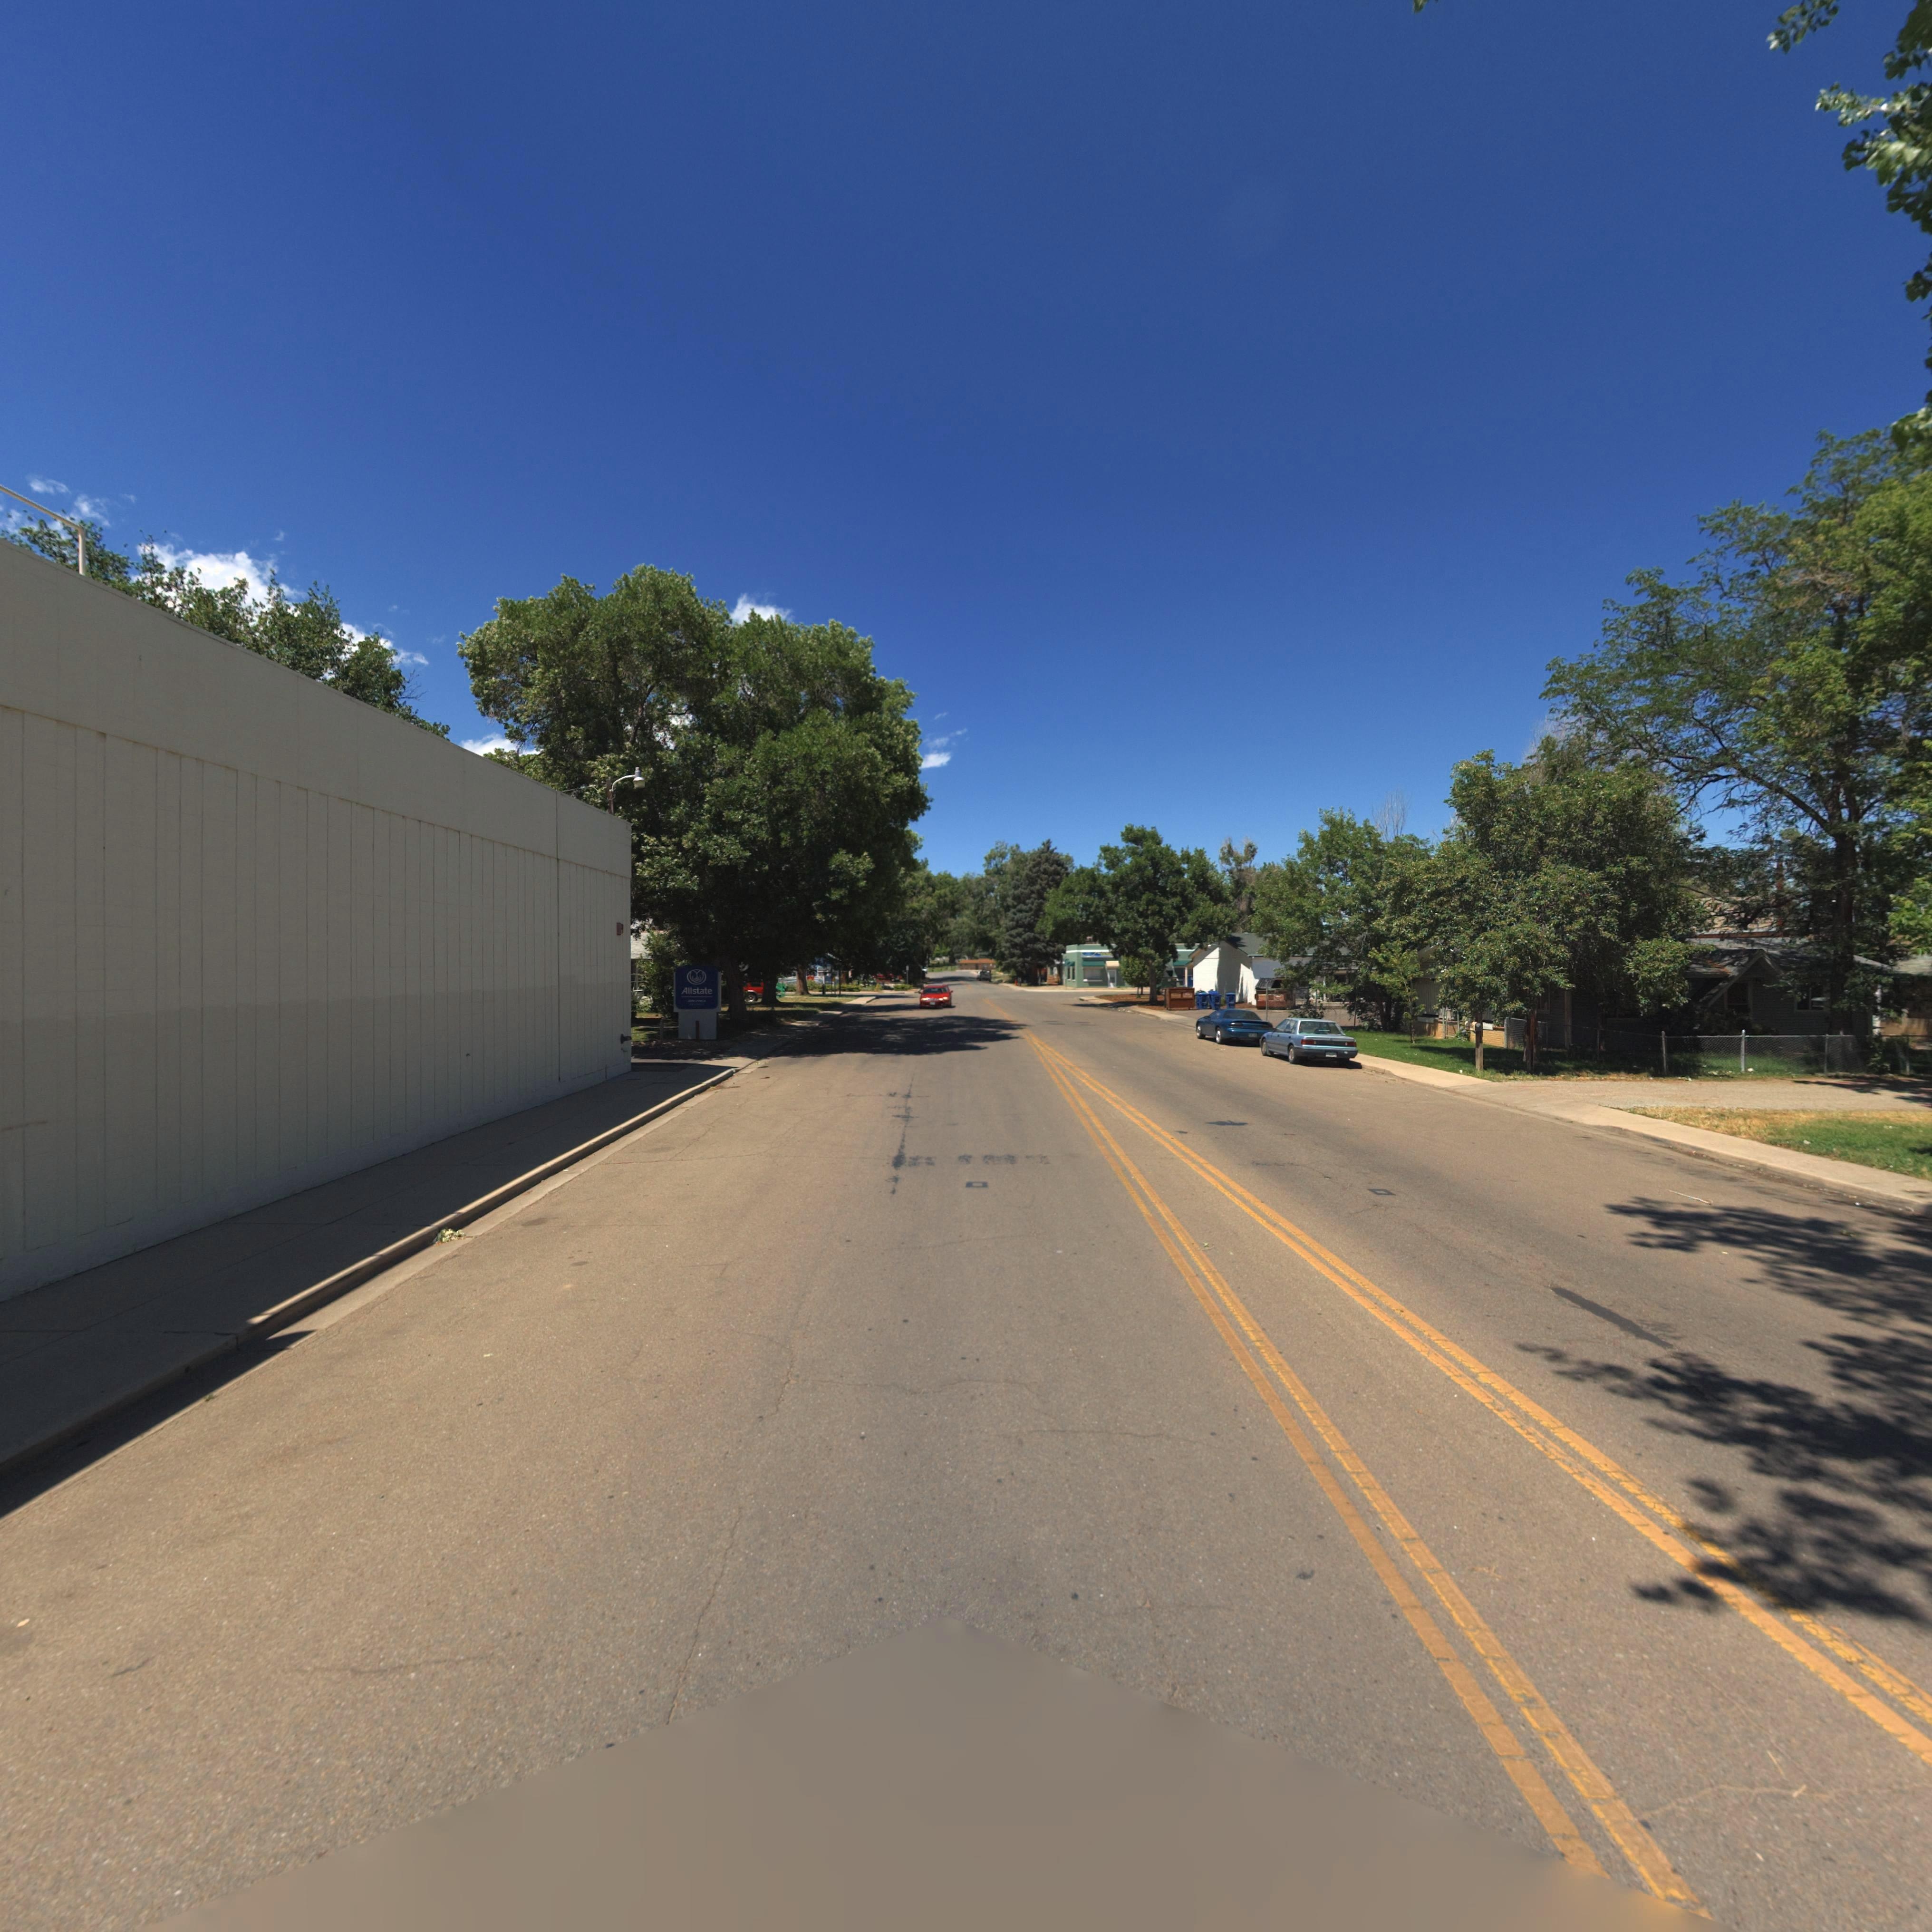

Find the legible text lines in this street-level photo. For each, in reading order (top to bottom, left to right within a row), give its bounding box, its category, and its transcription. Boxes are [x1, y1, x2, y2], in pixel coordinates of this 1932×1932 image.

[680, 987, 712, 994] BusinessName: Allstate
[687, 999, 706, 1002] BusinessName: JODI LYNCH